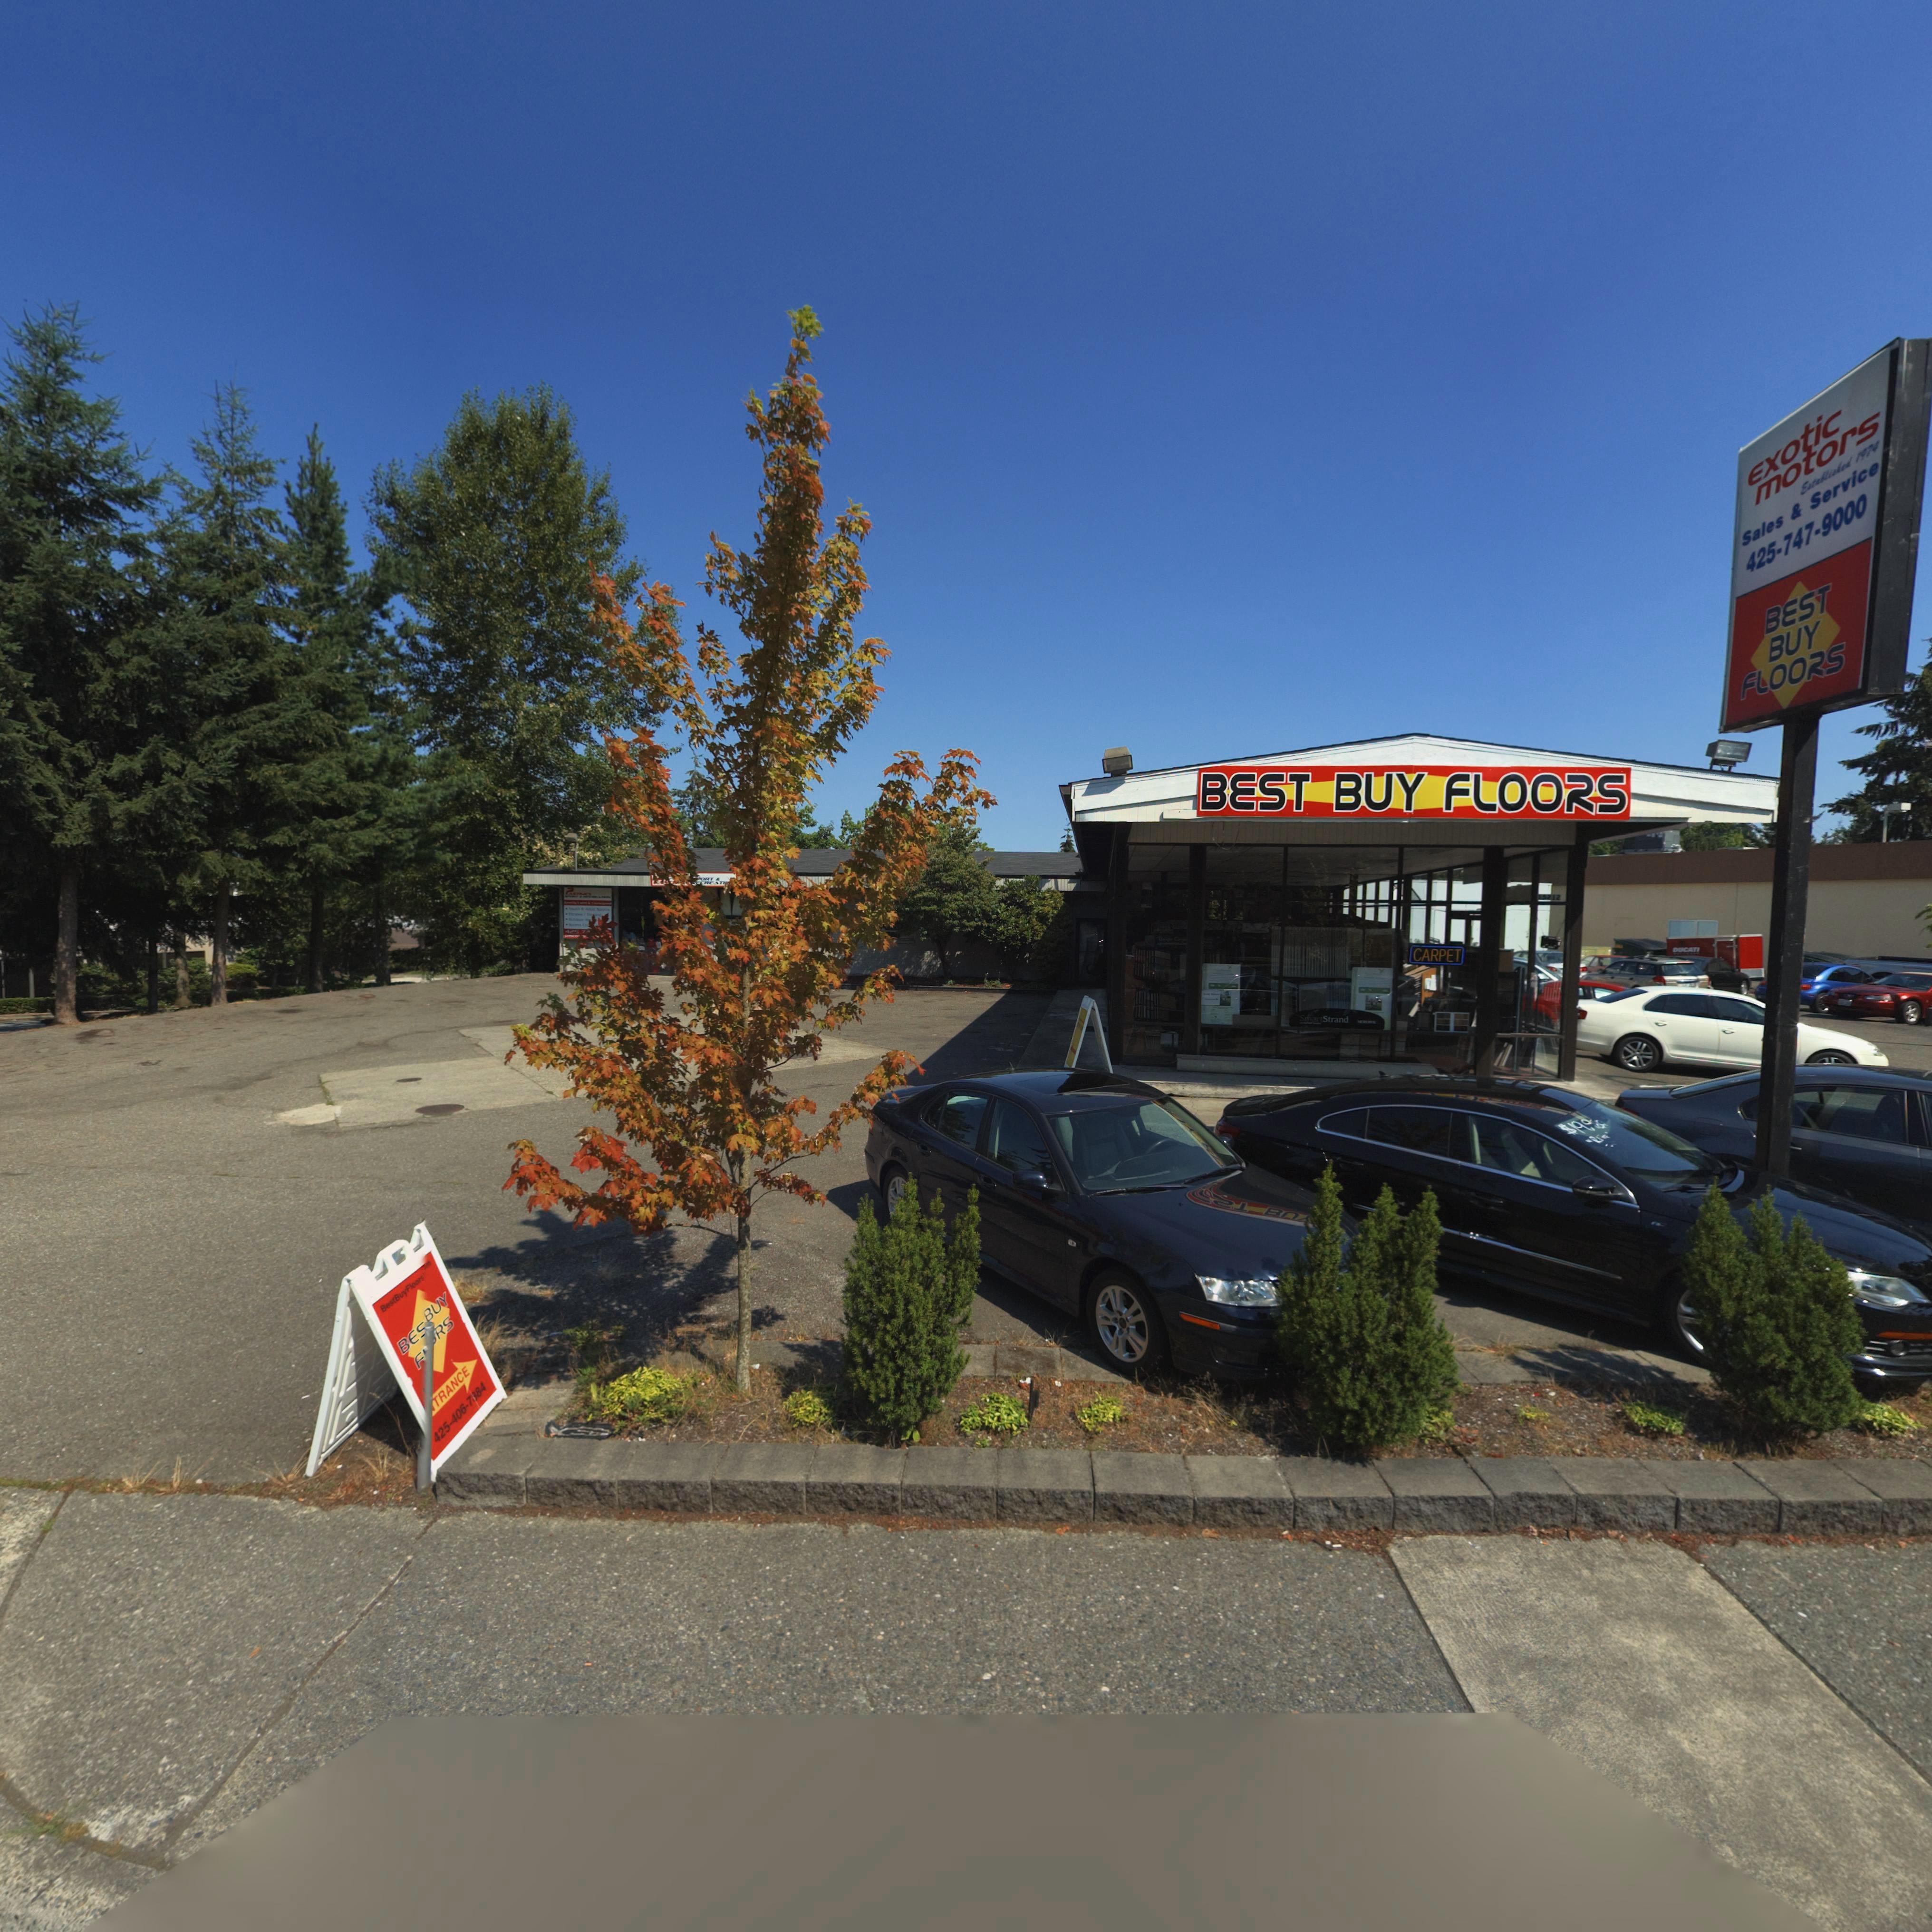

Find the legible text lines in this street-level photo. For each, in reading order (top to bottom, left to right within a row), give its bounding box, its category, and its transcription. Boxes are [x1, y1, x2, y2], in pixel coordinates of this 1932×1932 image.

[1748, 409, 1842, 489] BusinessName: Exotic
[1755, 411, 1880, 506] BusinessName: motors
[1766, 583, 1833, 634] BusinessName: BEST
[1768, 620, 1820, 662] BusinessName: BUY
[1740, 643, 1845, 700] BusinessName: FLOORS
[1200, 773, 1625, 810] BusinessName: BEST BUY FLOORS